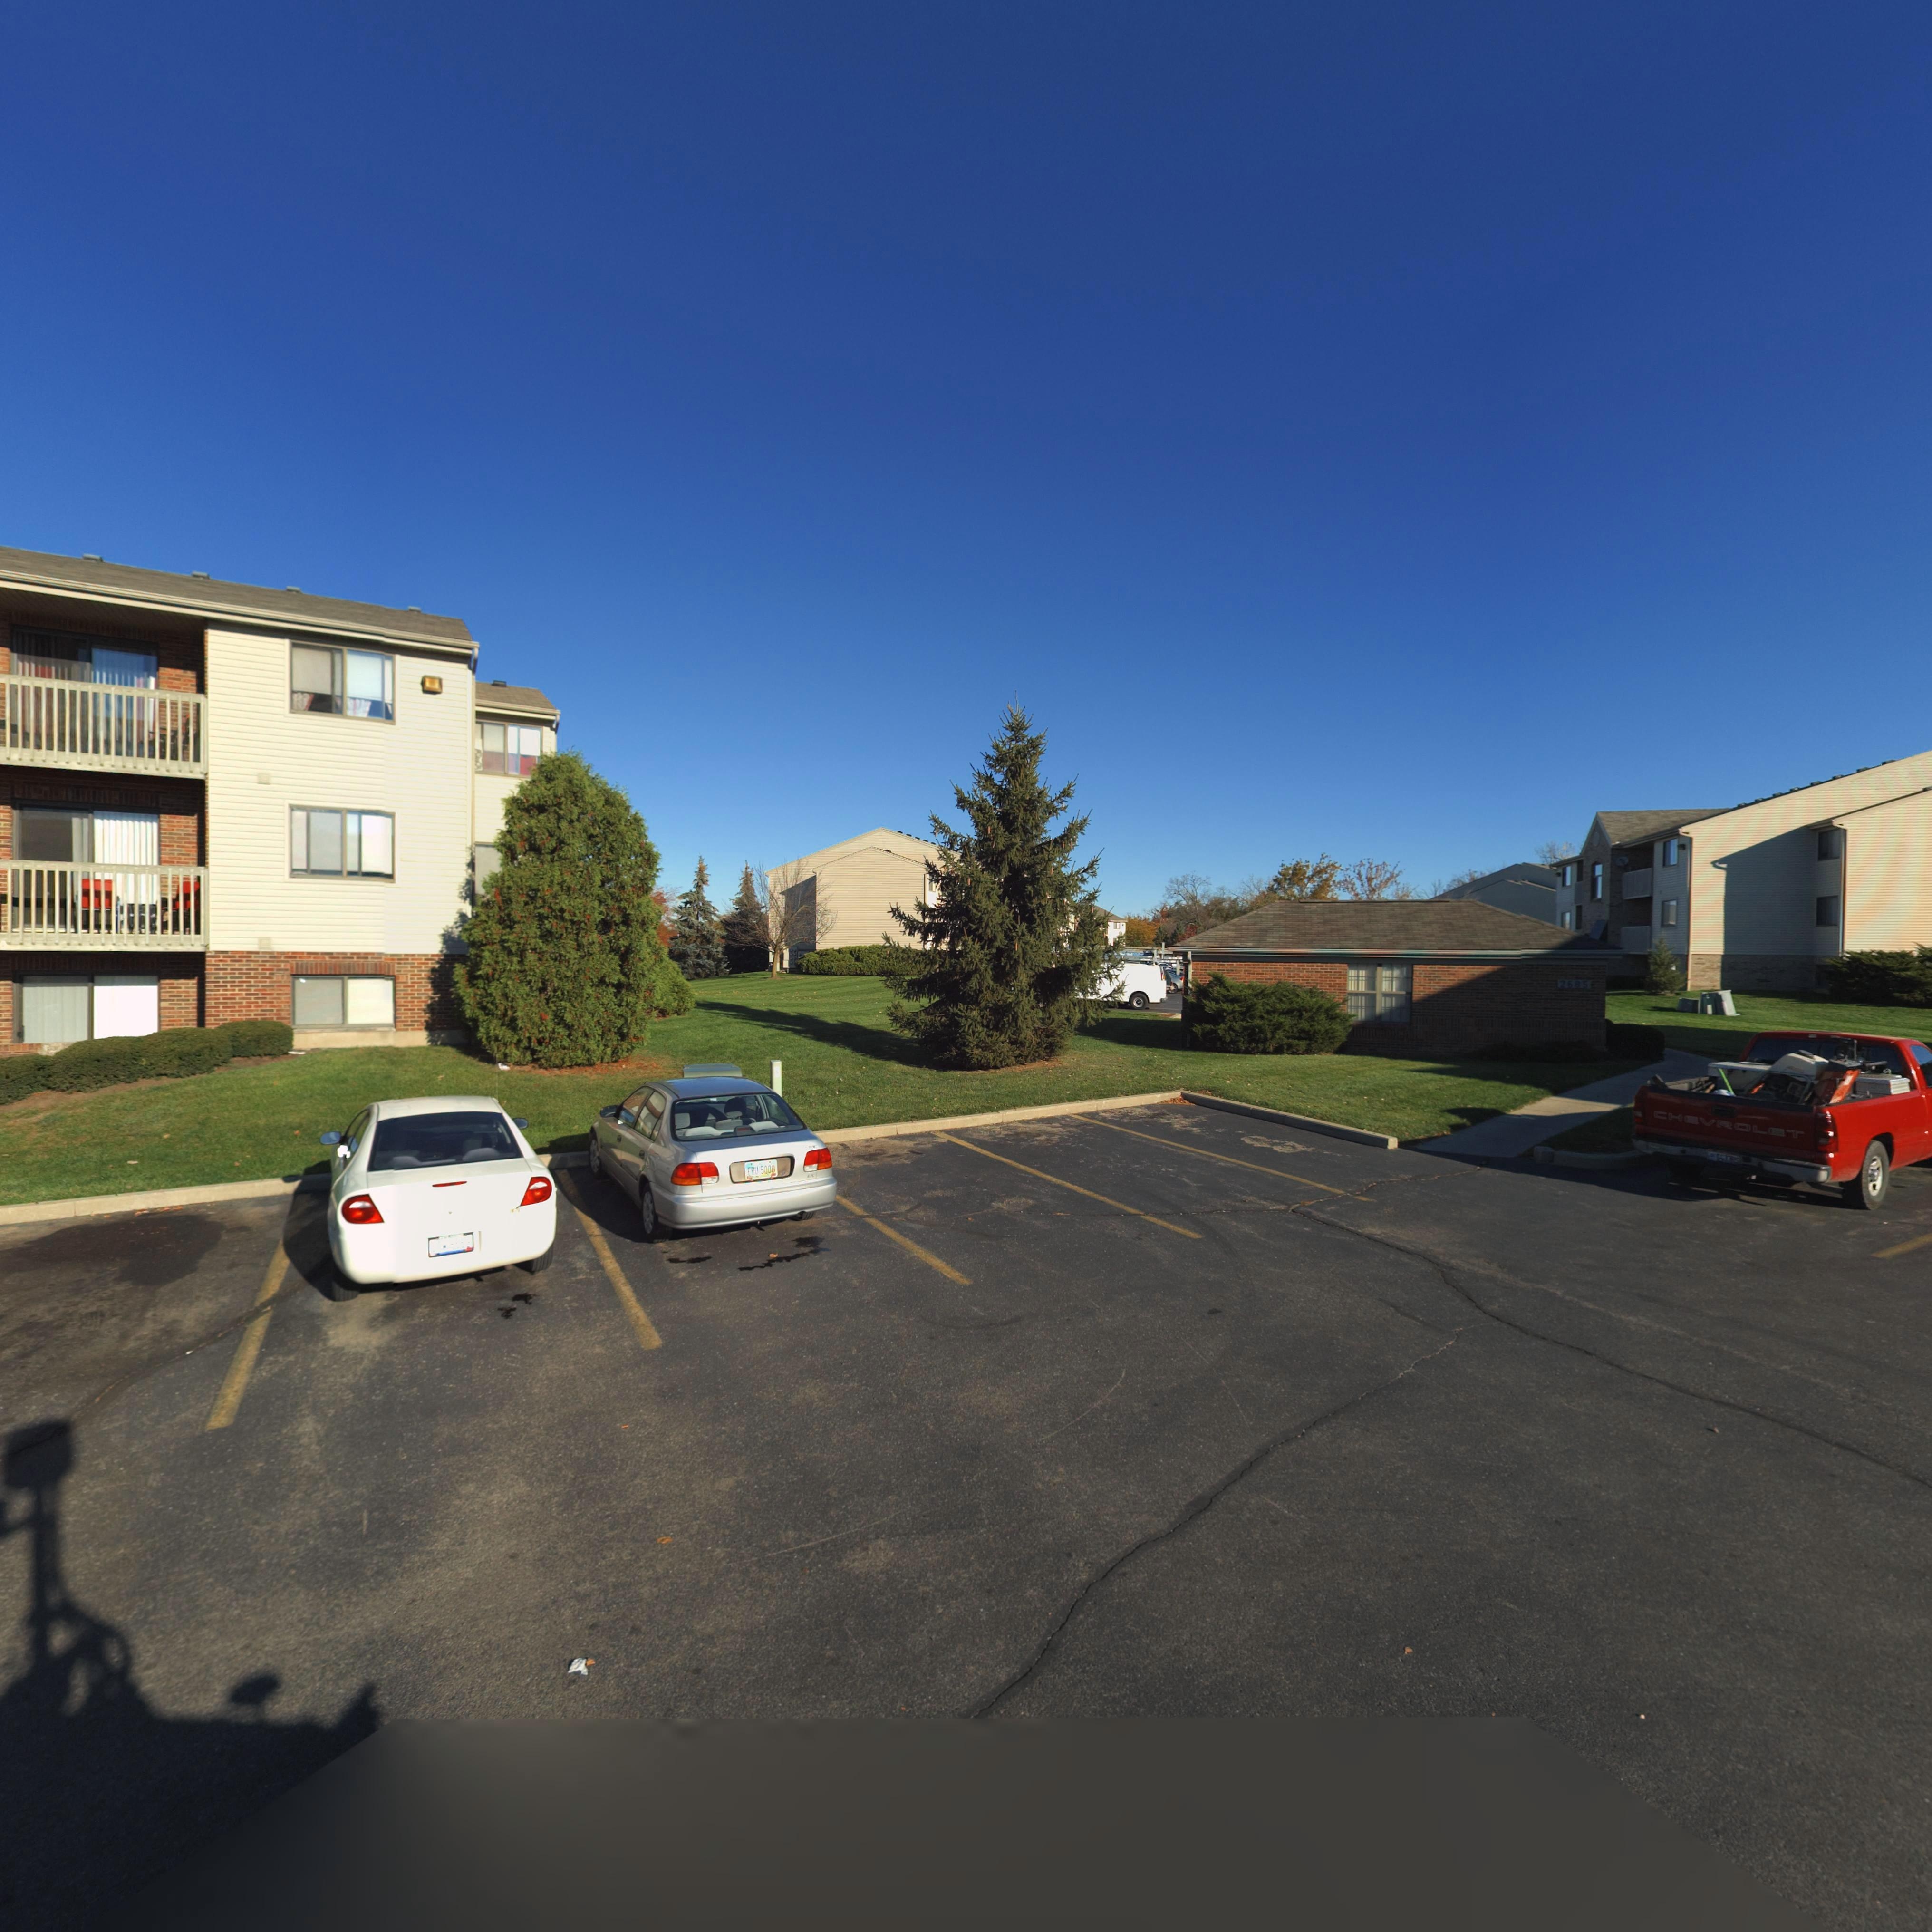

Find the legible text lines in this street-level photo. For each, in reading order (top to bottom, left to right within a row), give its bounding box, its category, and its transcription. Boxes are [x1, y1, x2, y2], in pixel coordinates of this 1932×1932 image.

[1559, 979, 1589, 989] StreetNumber: 2685